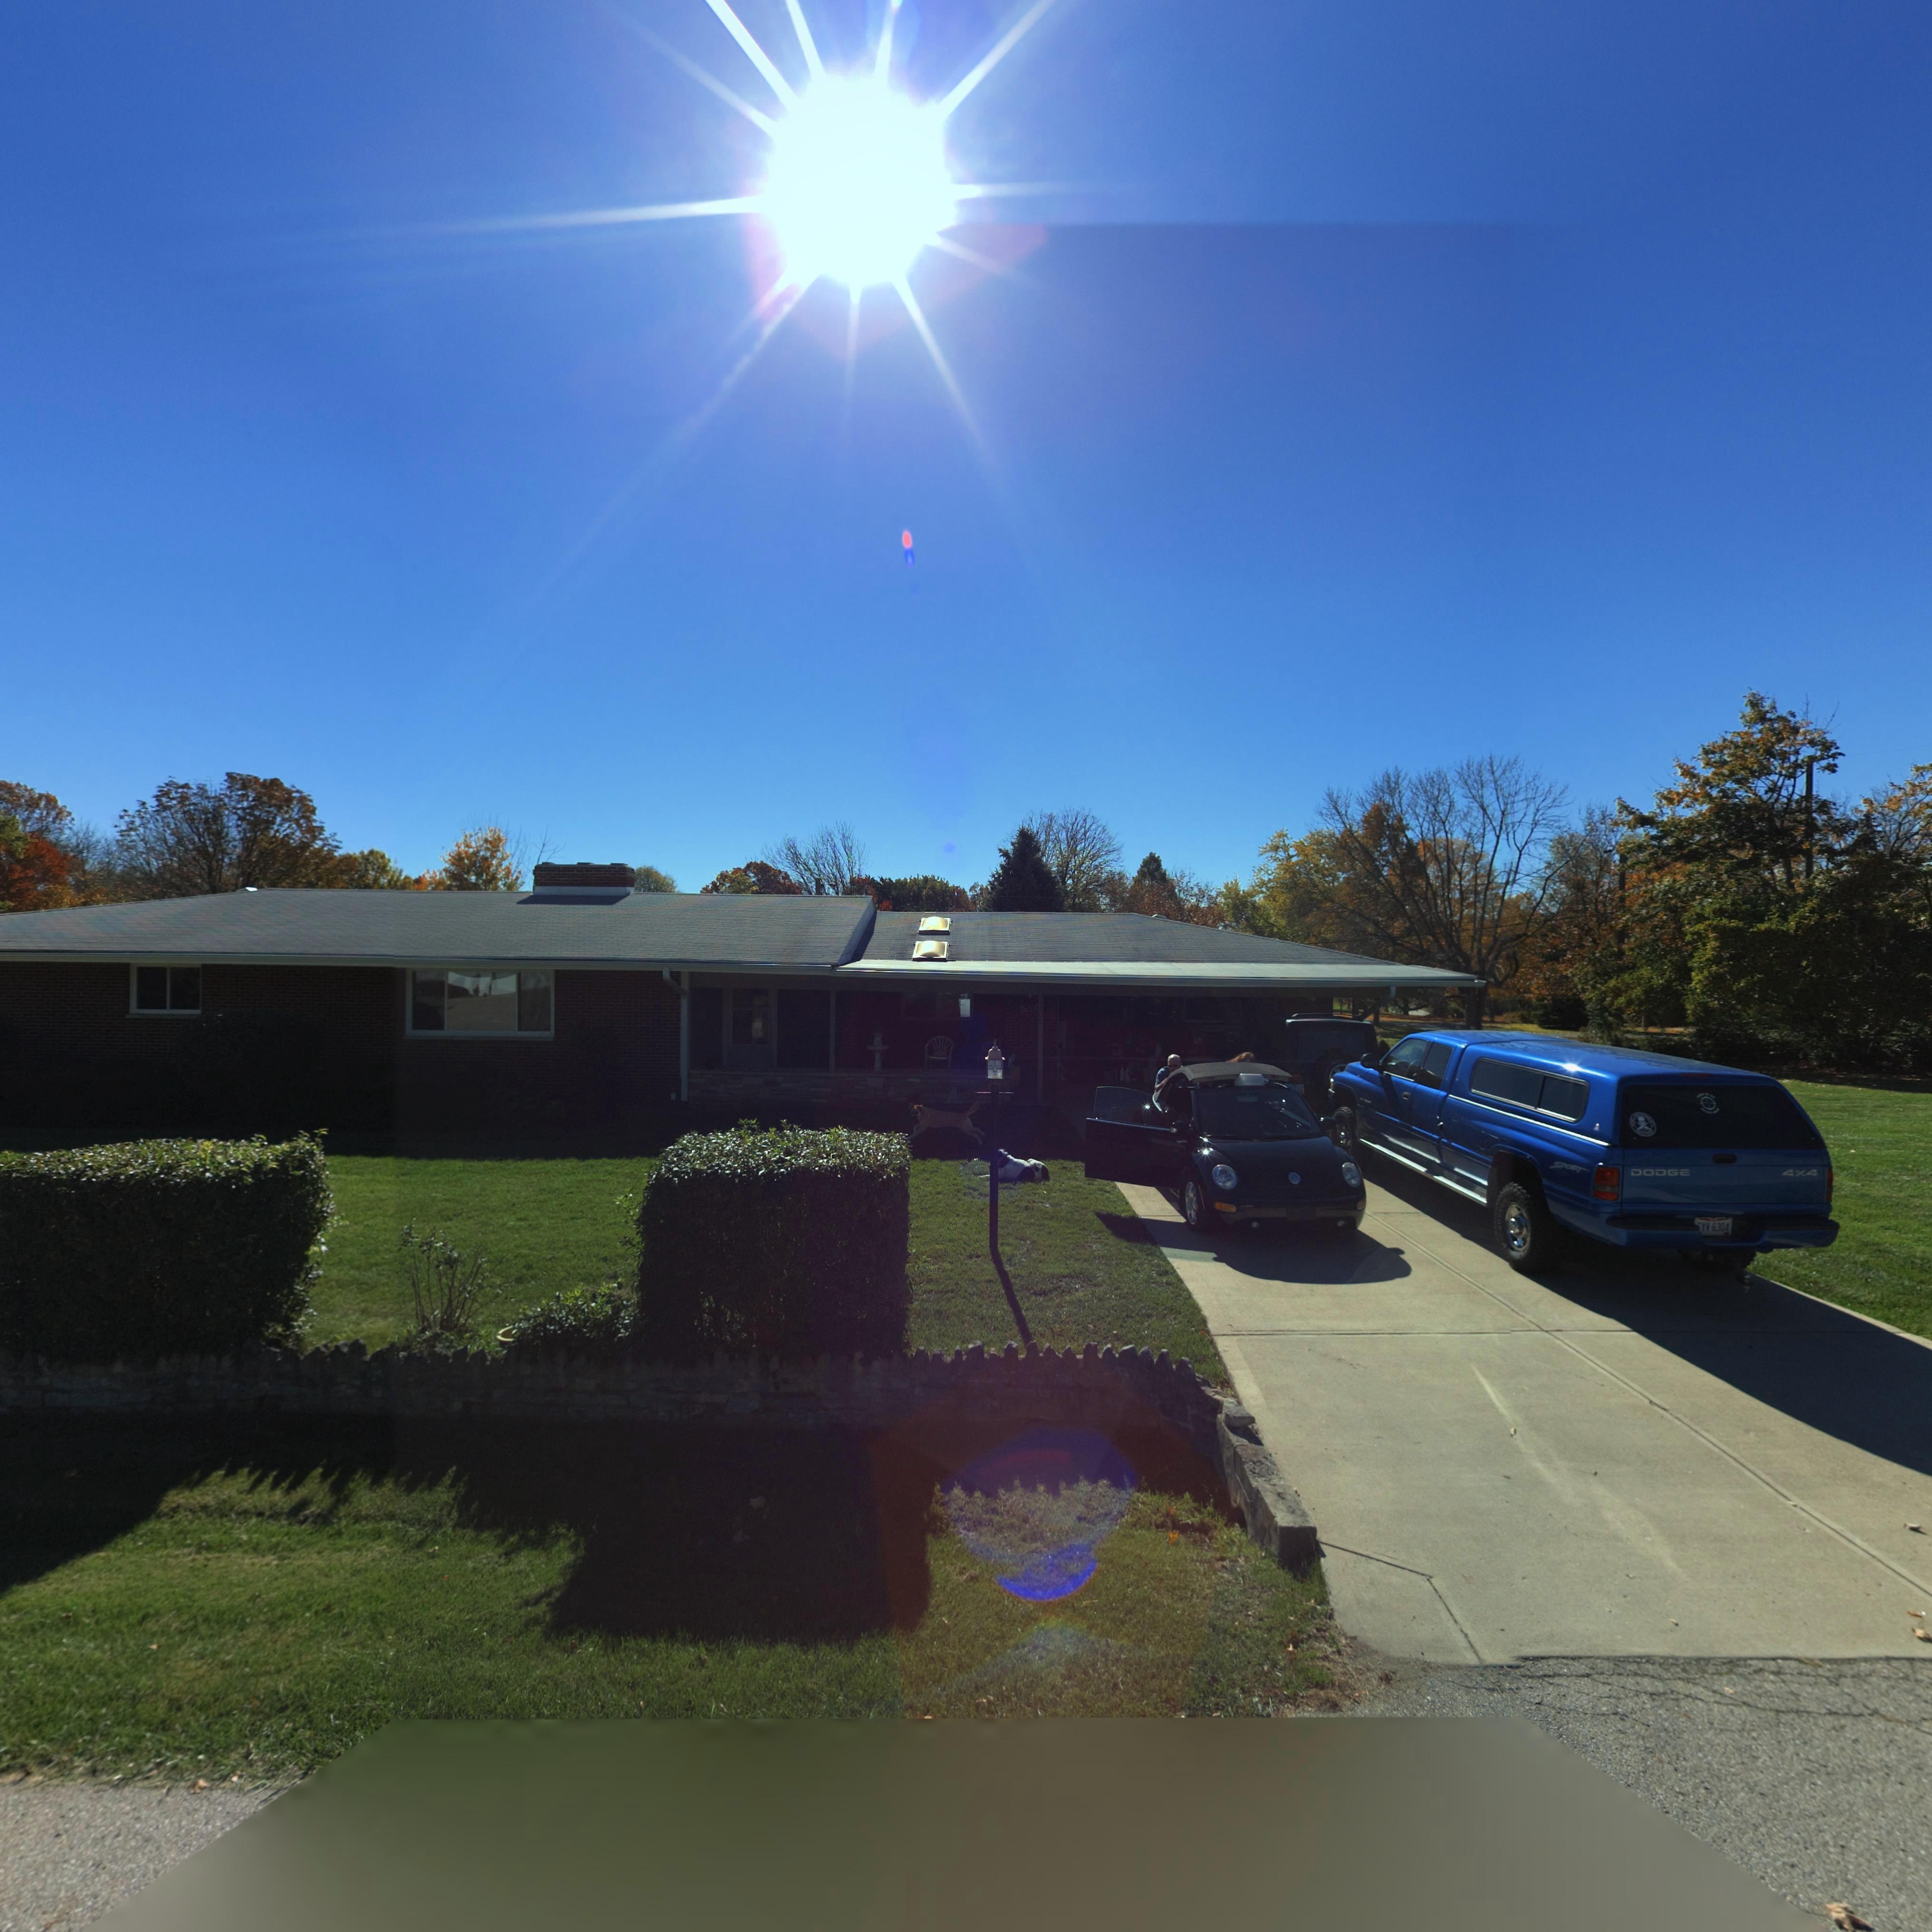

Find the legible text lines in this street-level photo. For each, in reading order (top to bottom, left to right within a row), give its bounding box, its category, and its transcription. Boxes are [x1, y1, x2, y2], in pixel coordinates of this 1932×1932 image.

[1020, 1004, 1036, 1013] StreetNumber: 520
[1038, 997, 1044, 1025] StreetNumber: 5200